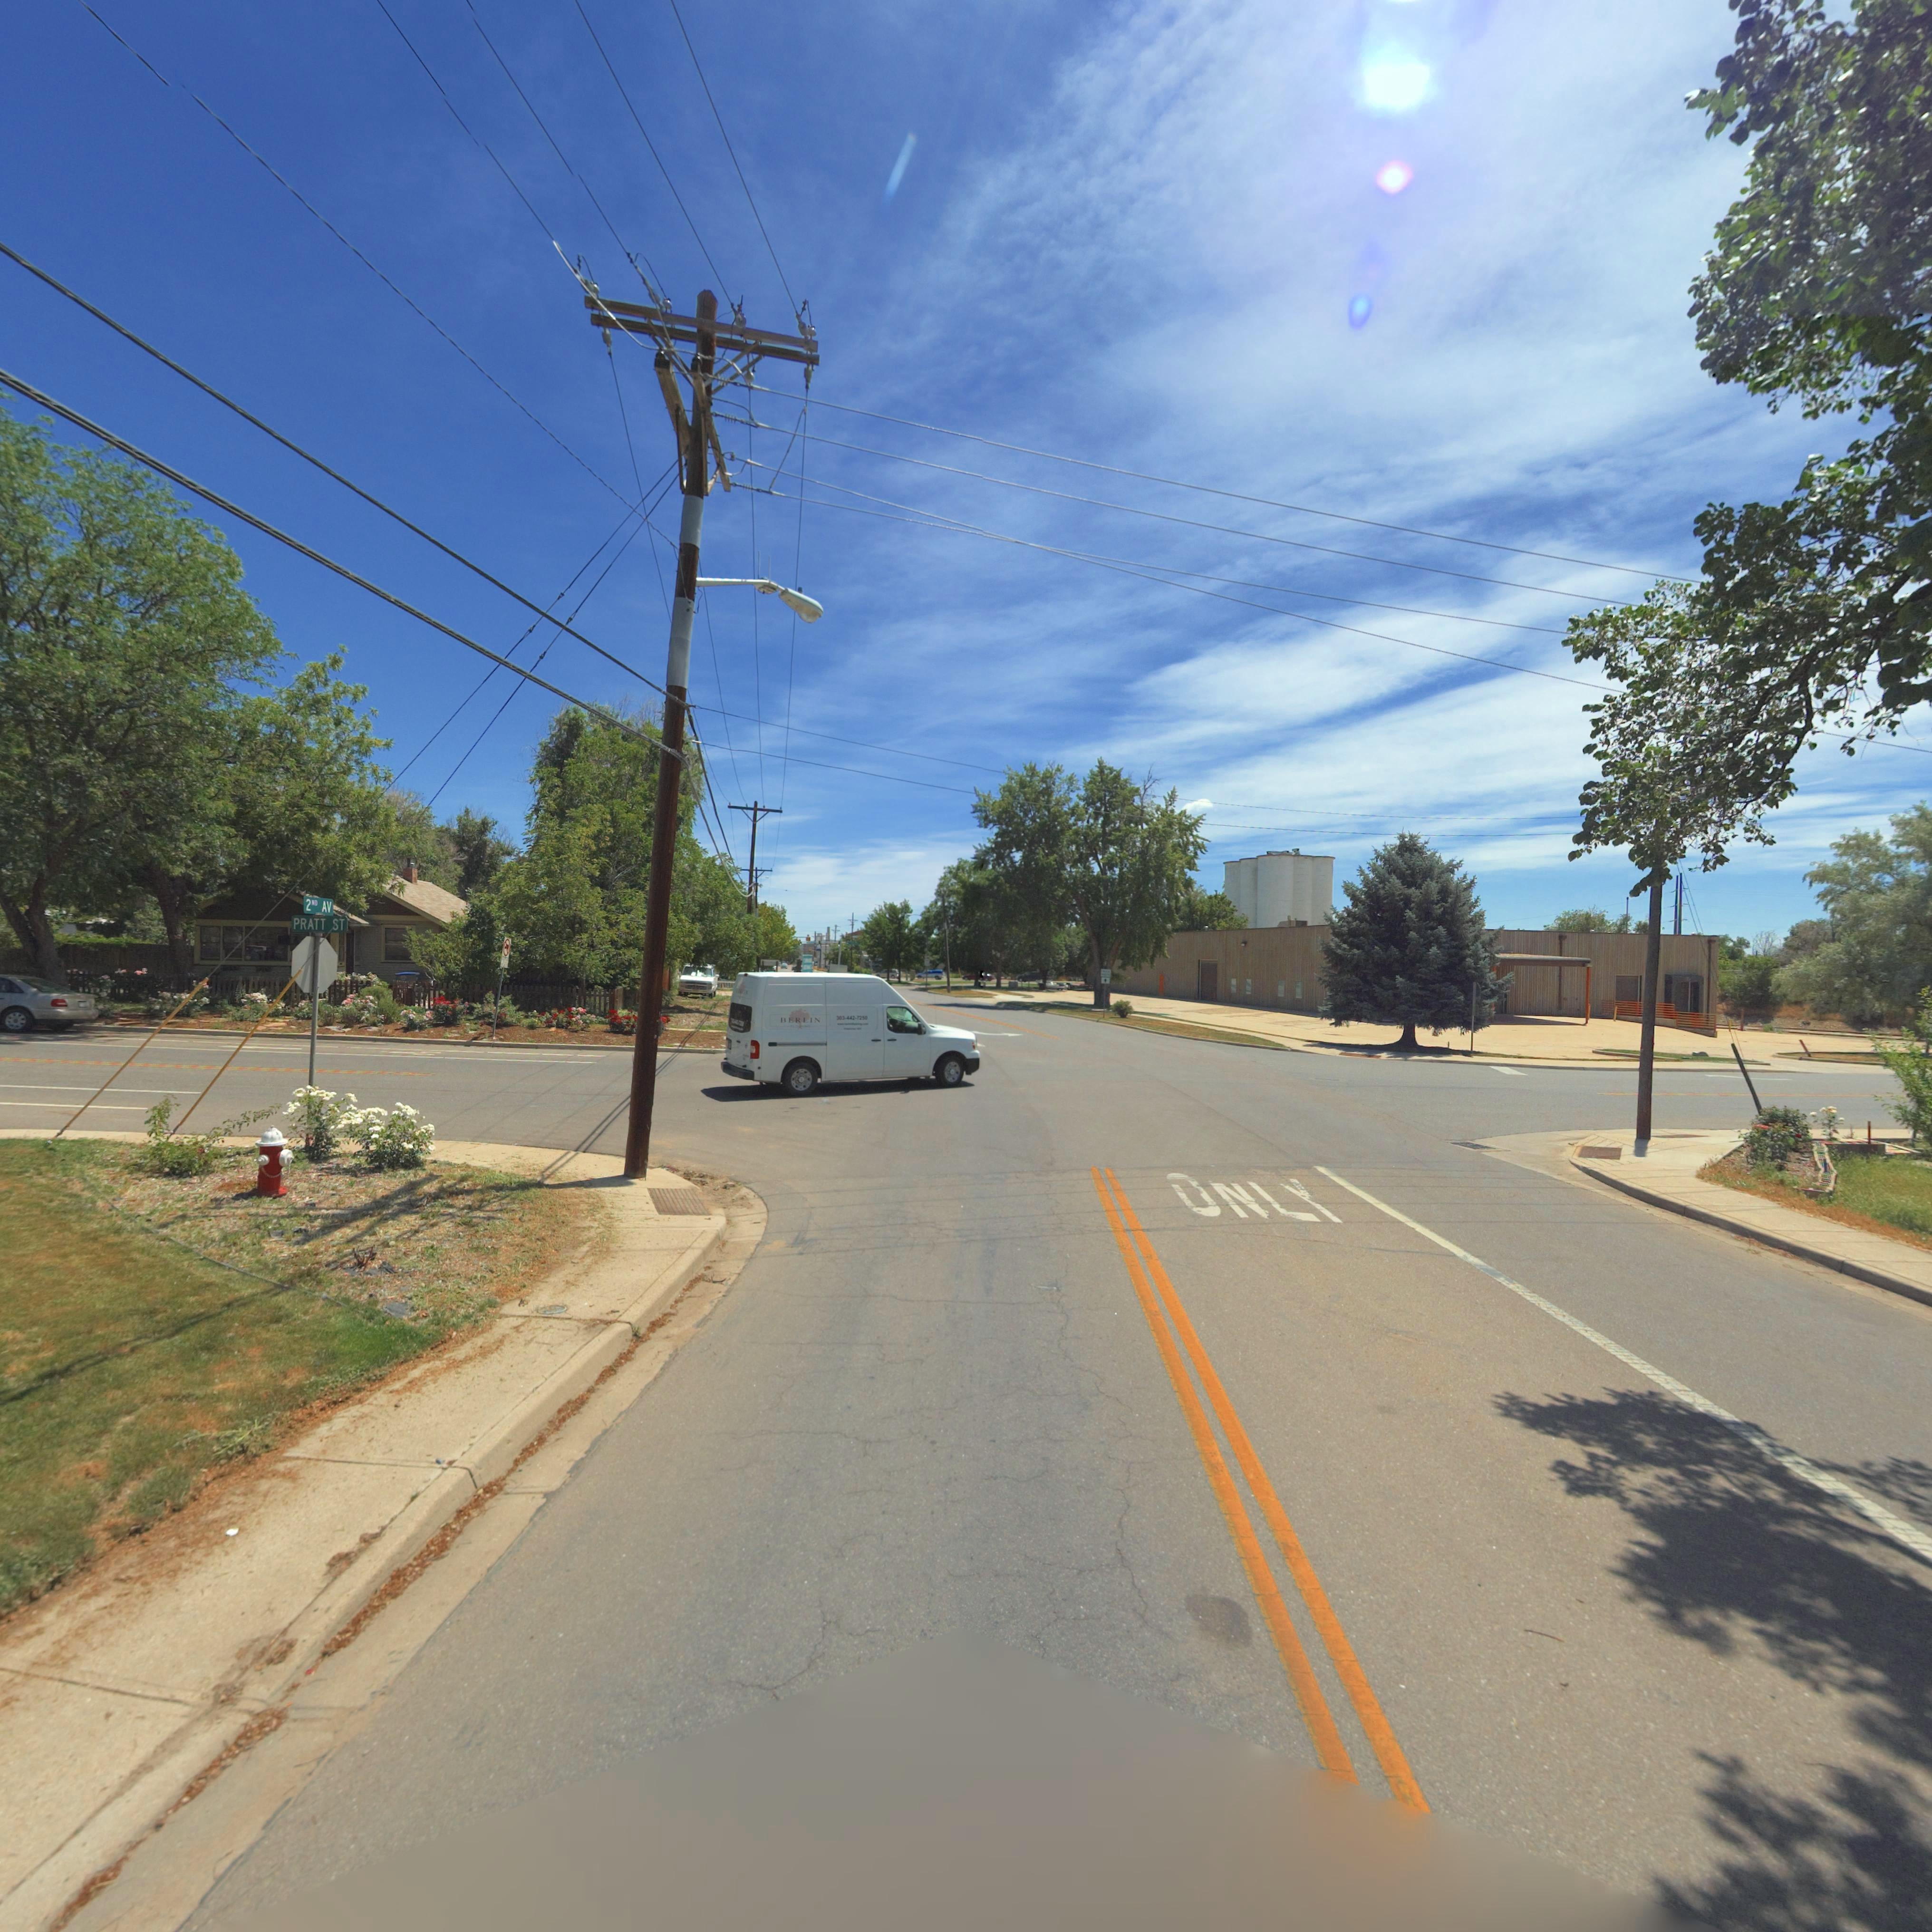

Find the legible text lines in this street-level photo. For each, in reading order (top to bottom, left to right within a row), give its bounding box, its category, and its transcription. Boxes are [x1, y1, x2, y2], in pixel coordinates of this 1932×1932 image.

[306, 898, 332, 913] StreetName: 2ND AV
[293, 918, 345, 931] StreetName: PRATT ST